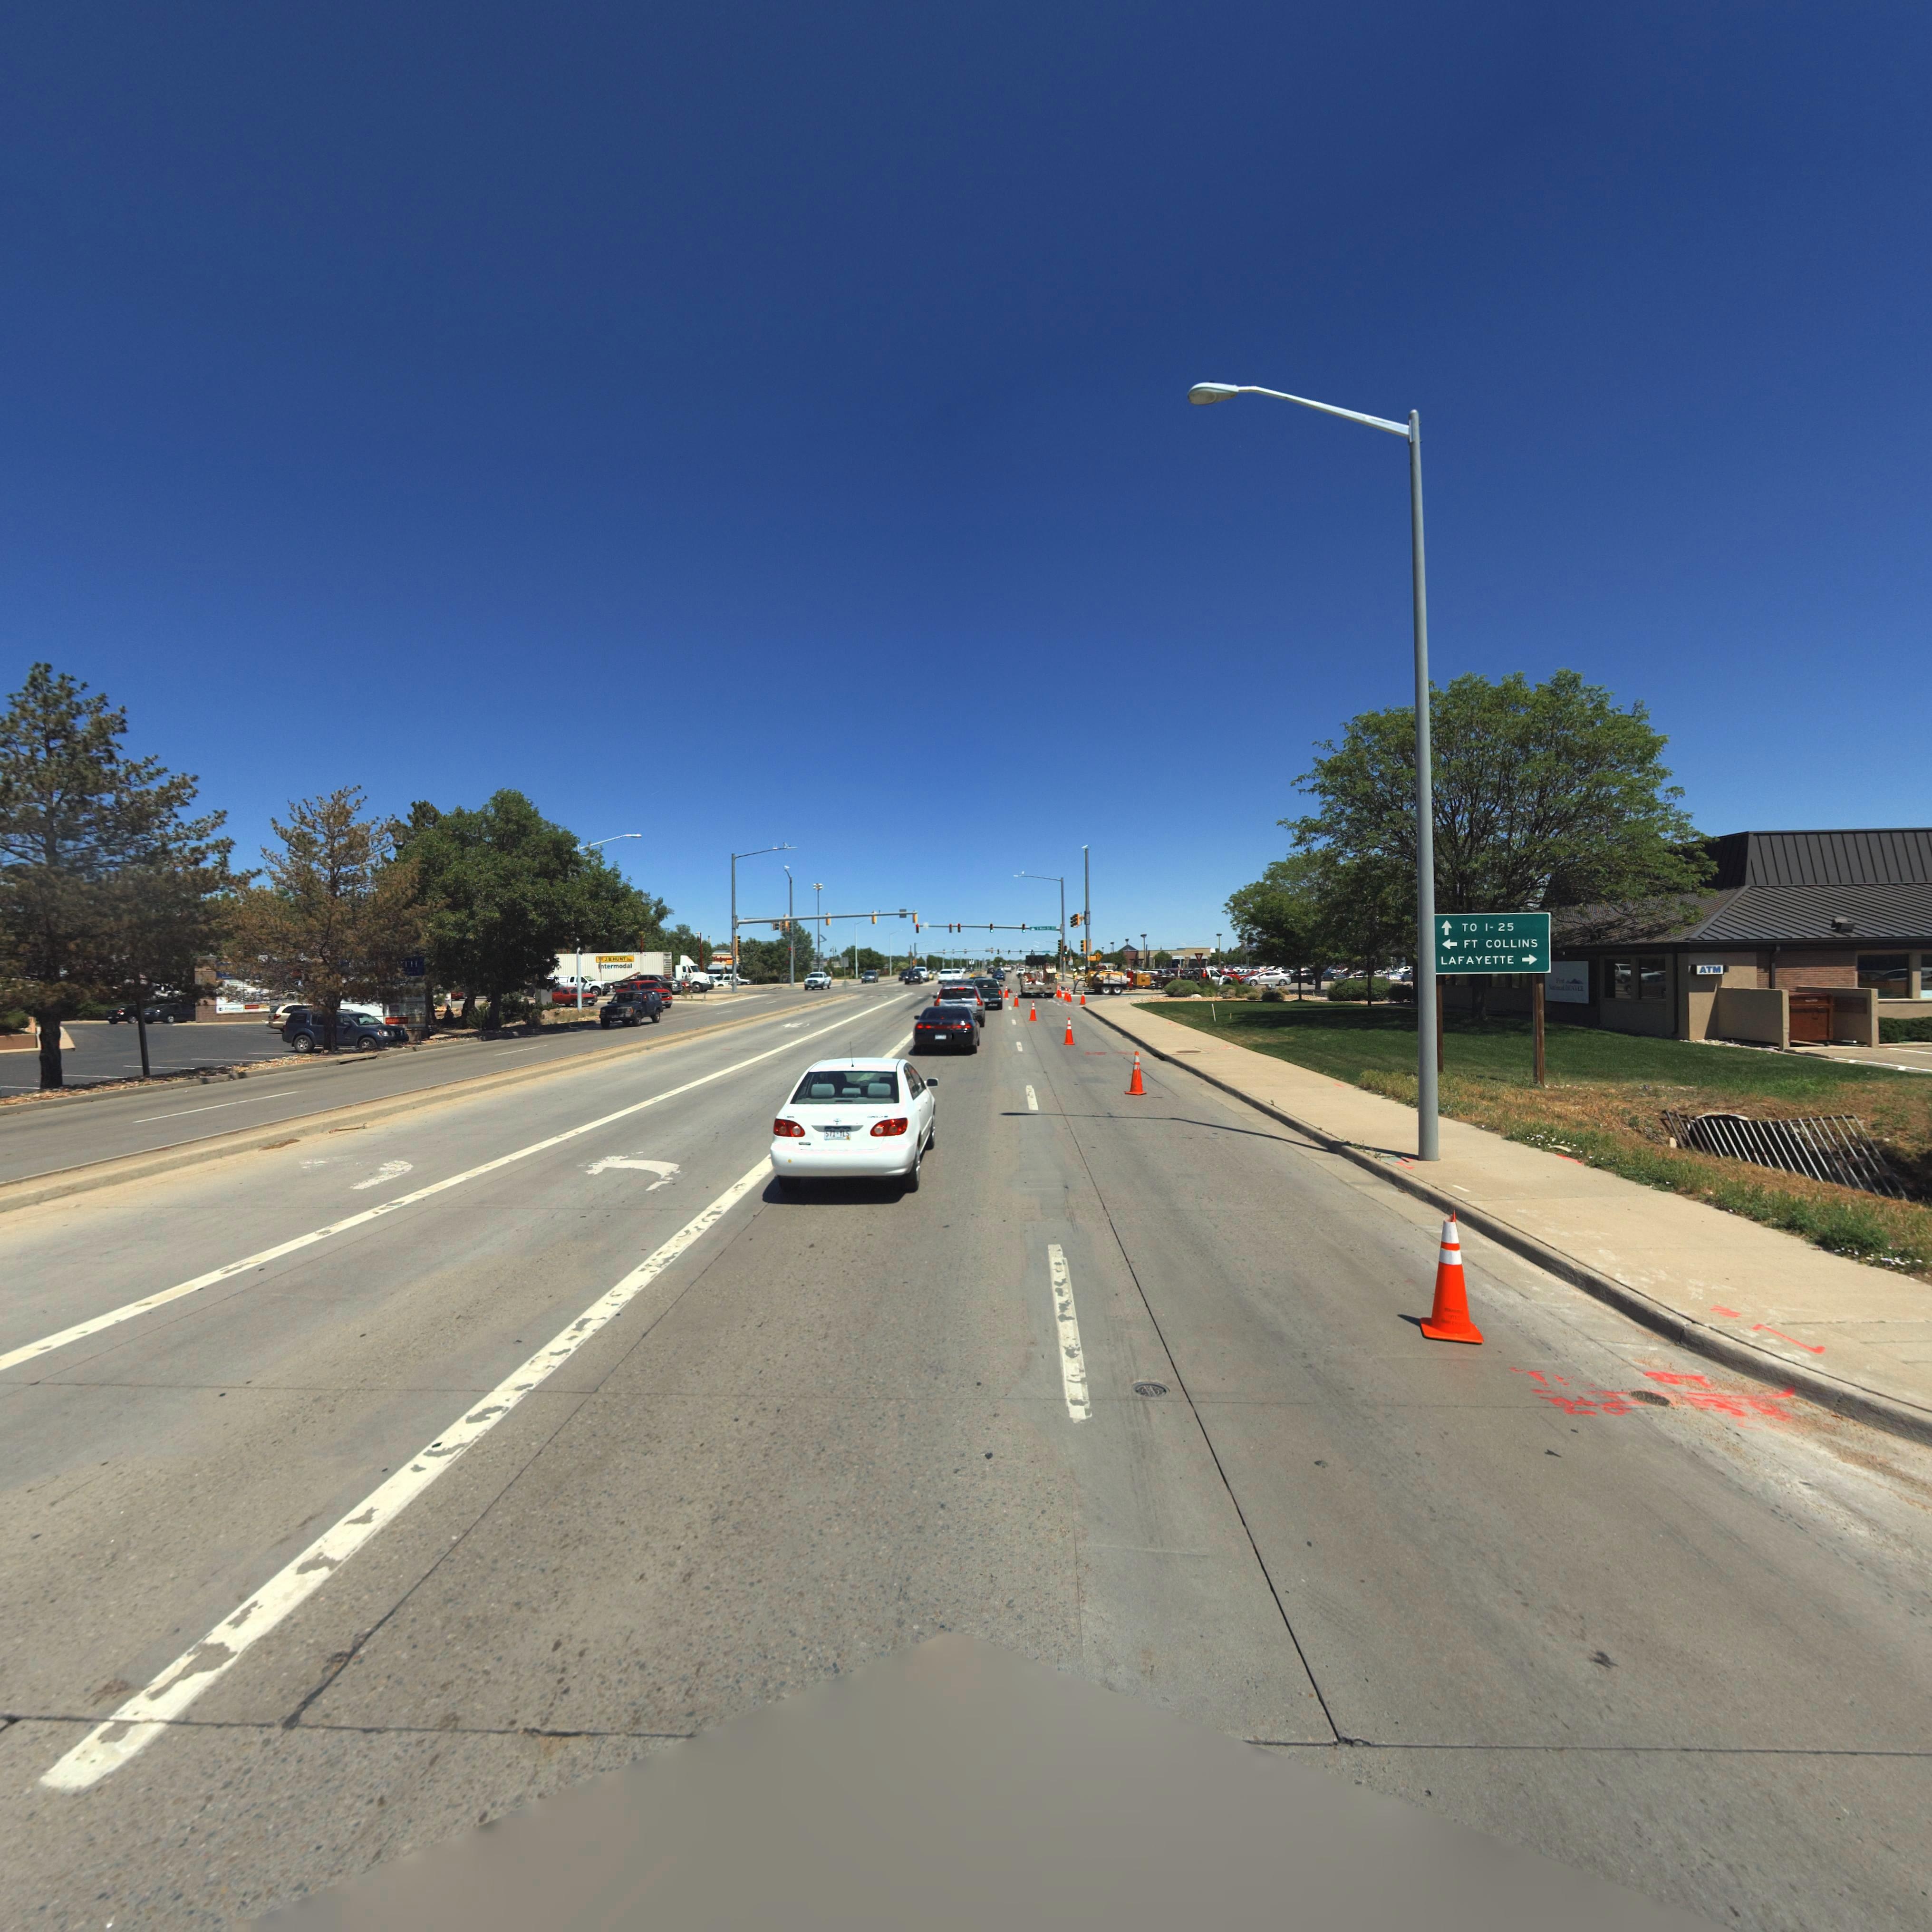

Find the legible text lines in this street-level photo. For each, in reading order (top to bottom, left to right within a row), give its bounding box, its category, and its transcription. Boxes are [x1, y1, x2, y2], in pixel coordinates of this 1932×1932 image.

[711, 956, 728, 963] BusinessName: Wal***
[1556, 977, 1565, 983] BusinessName: First
[1548, 983, 1584, 992] BusinessName: National DENVER